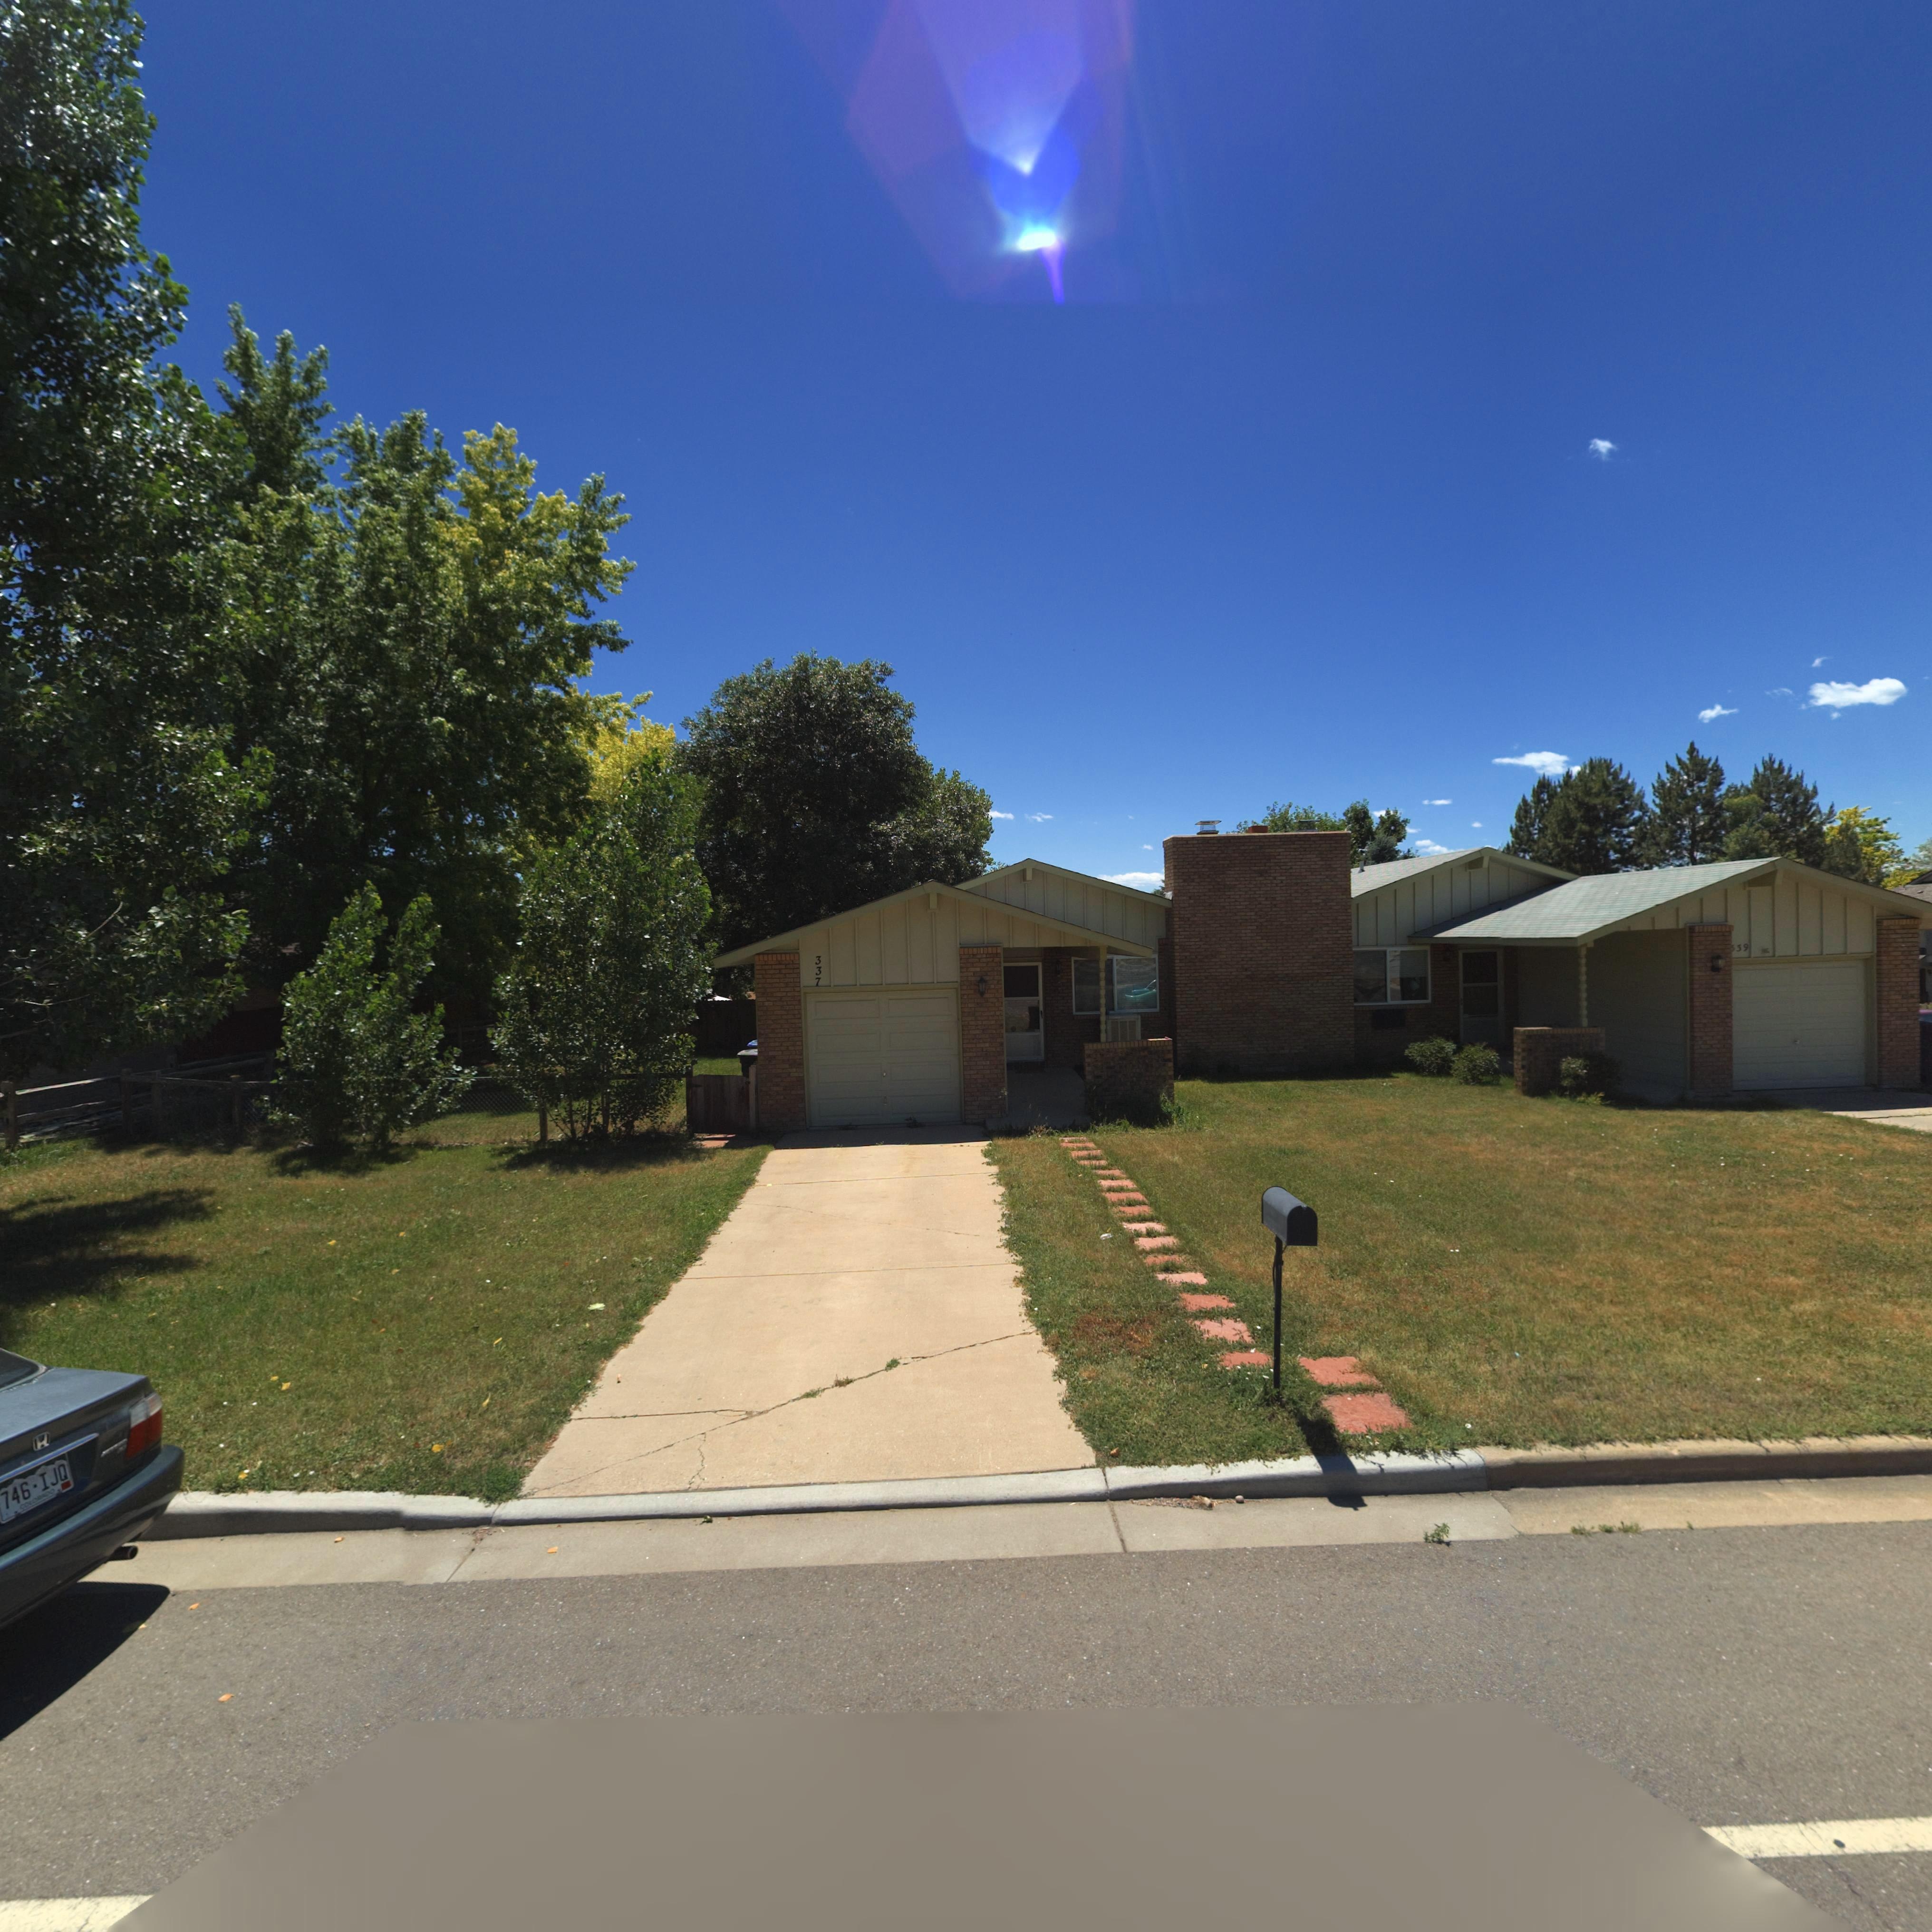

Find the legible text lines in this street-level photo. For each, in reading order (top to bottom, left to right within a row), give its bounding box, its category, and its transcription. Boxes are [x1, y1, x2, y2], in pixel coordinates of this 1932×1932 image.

[1731, 943, 1749, 952] StreetNumber: *39
[814, 955, 822, 986] StreetNumber: 337